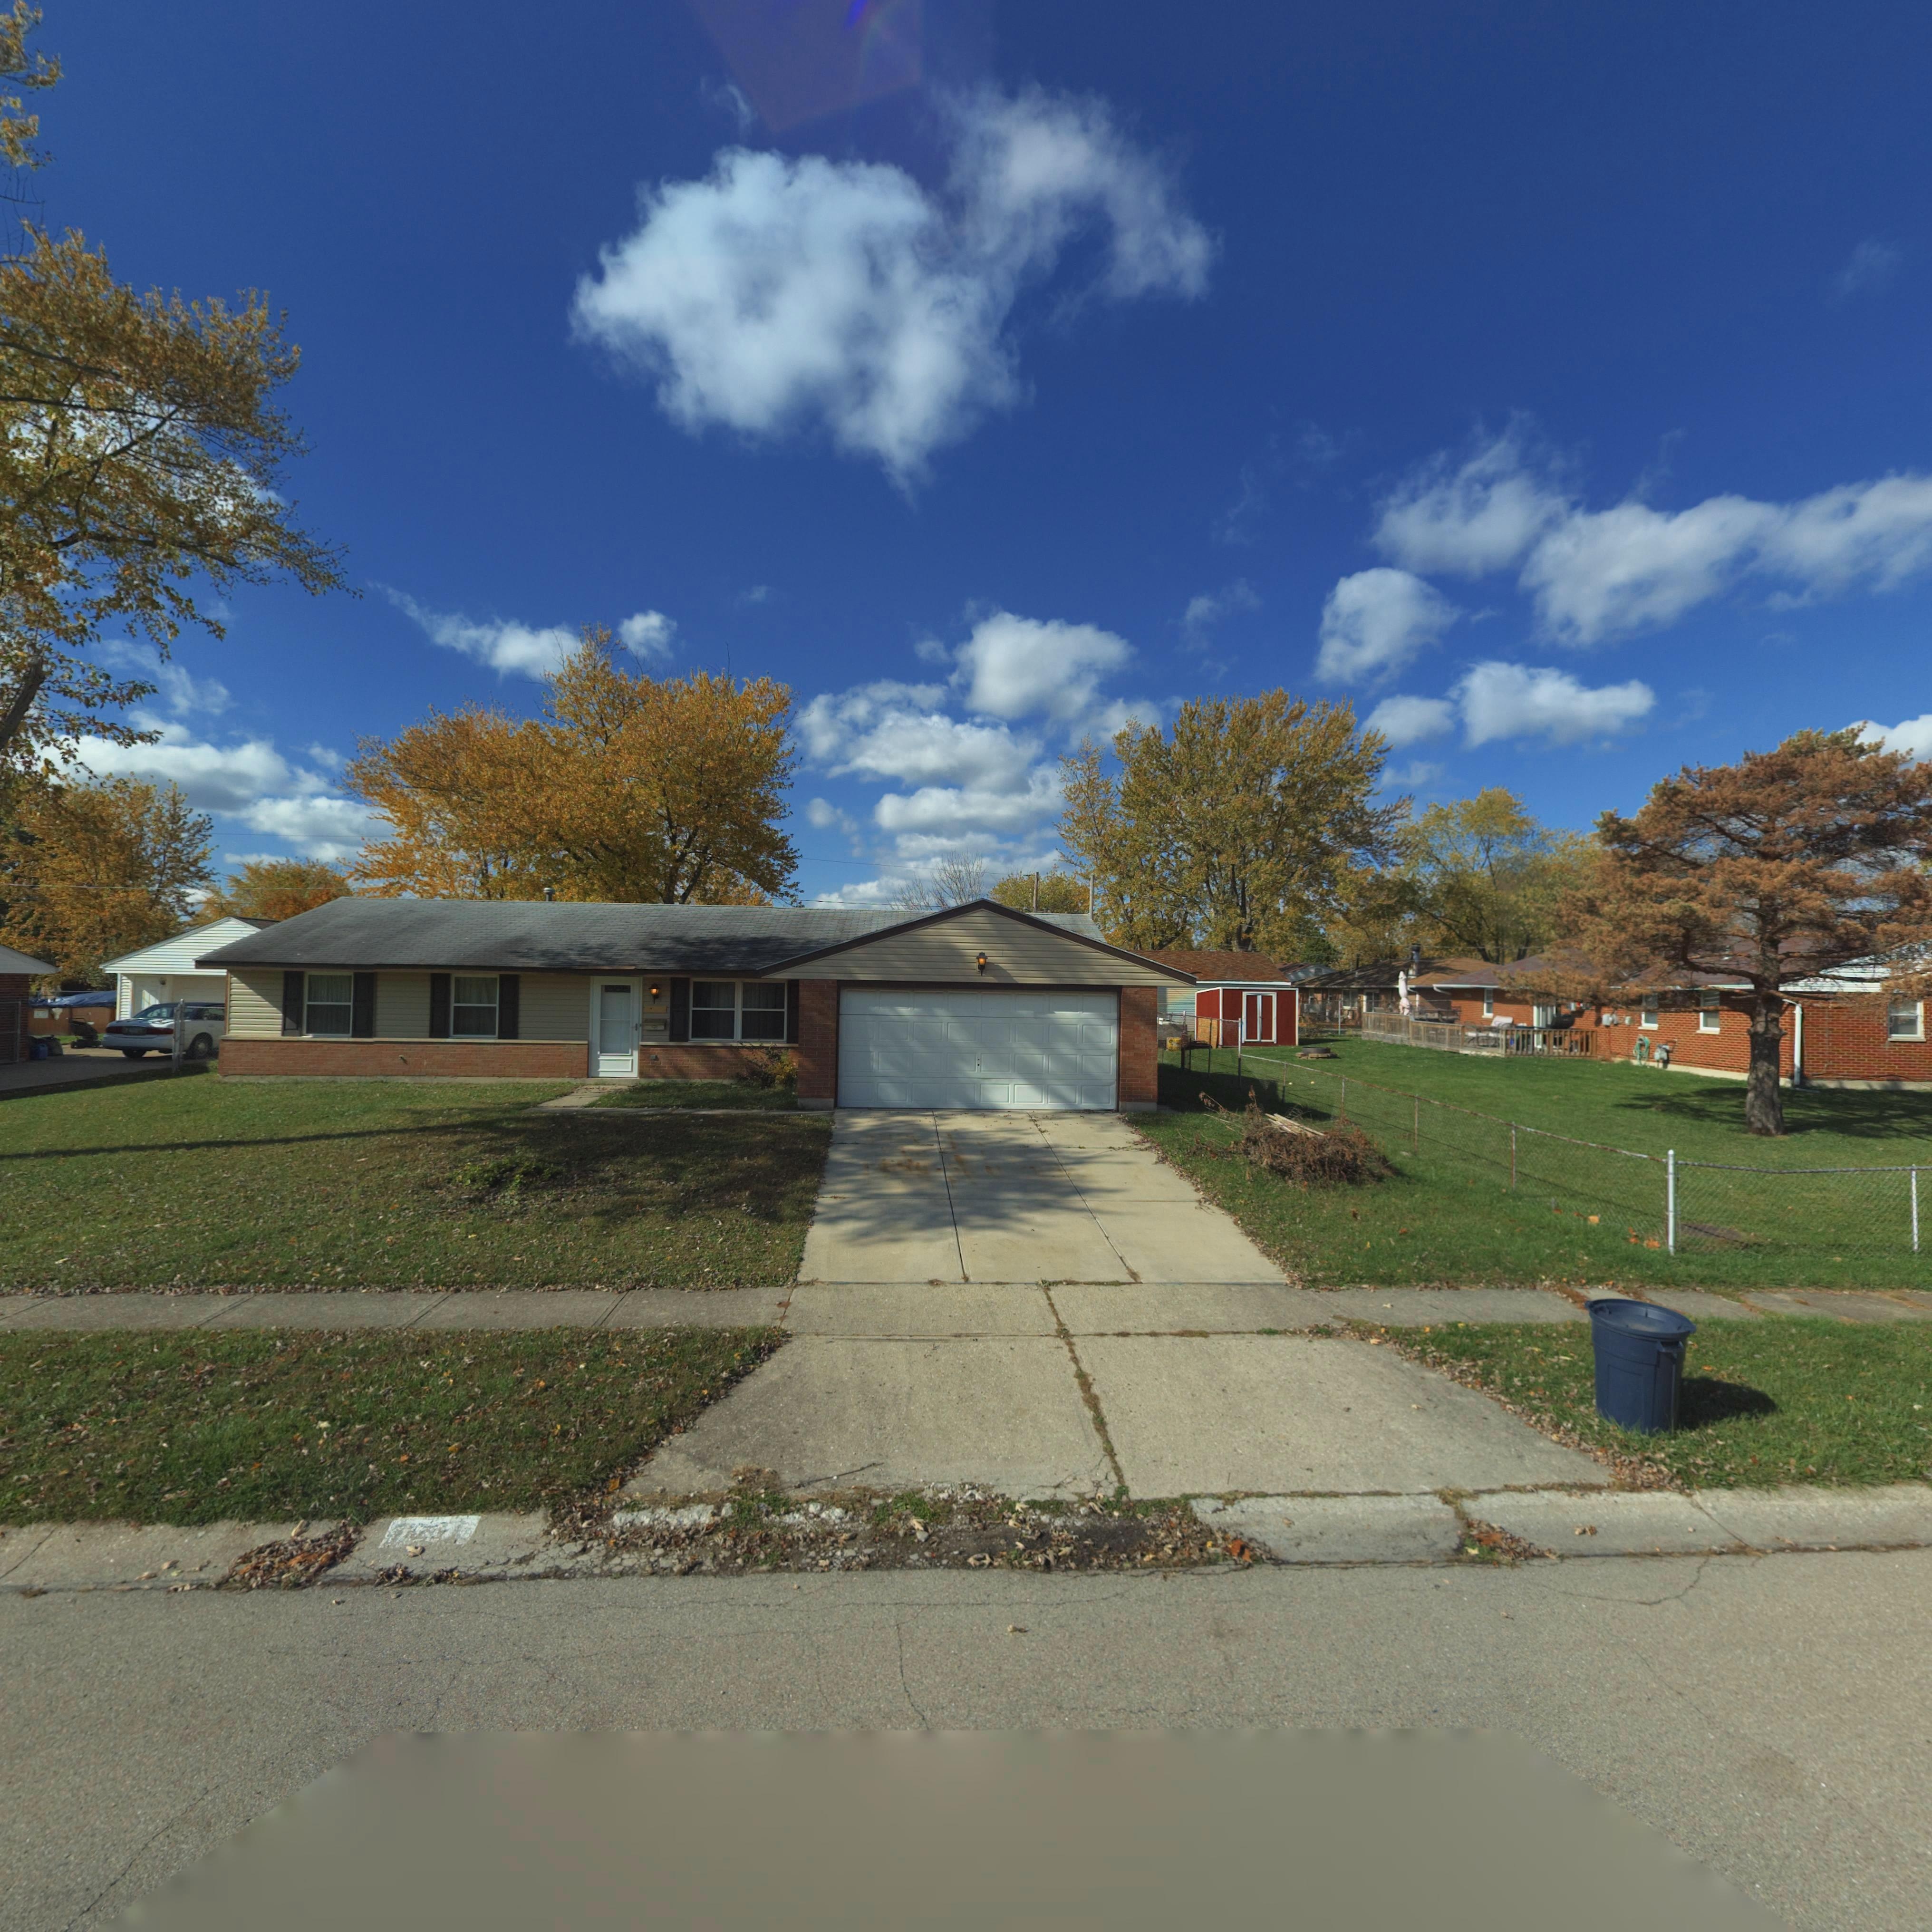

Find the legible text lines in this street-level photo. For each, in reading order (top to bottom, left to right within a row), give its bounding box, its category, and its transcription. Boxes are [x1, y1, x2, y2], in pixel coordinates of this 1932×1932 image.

[386, 1521, 412, 1546] StreetNumber: 7